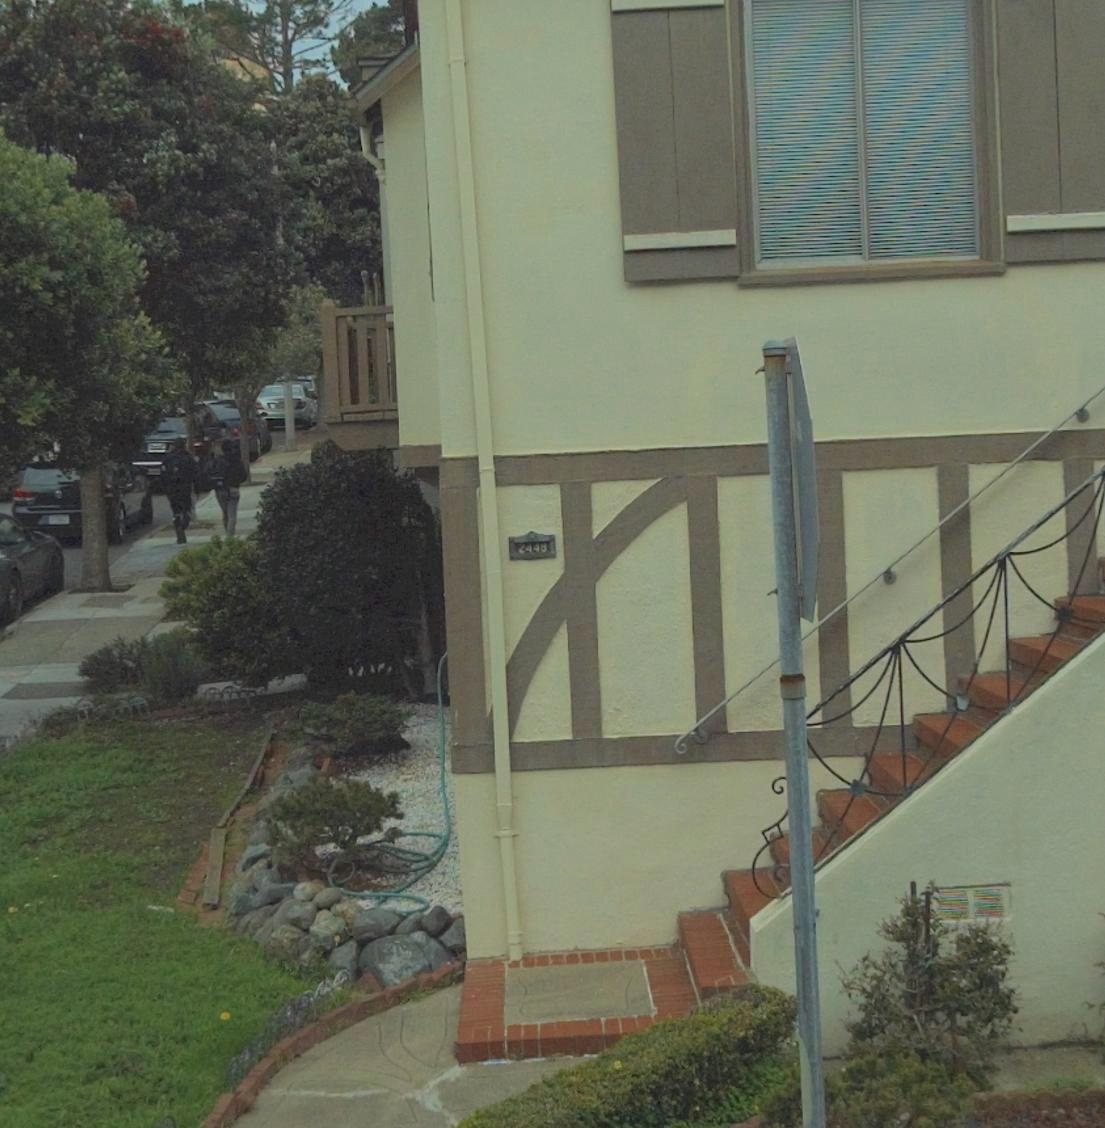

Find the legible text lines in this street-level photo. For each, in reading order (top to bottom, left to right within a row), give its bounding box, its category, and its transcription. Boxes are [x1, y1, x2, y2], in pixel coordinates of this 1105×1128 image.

[516, 542, 549, 554] StreetNumber: 2448